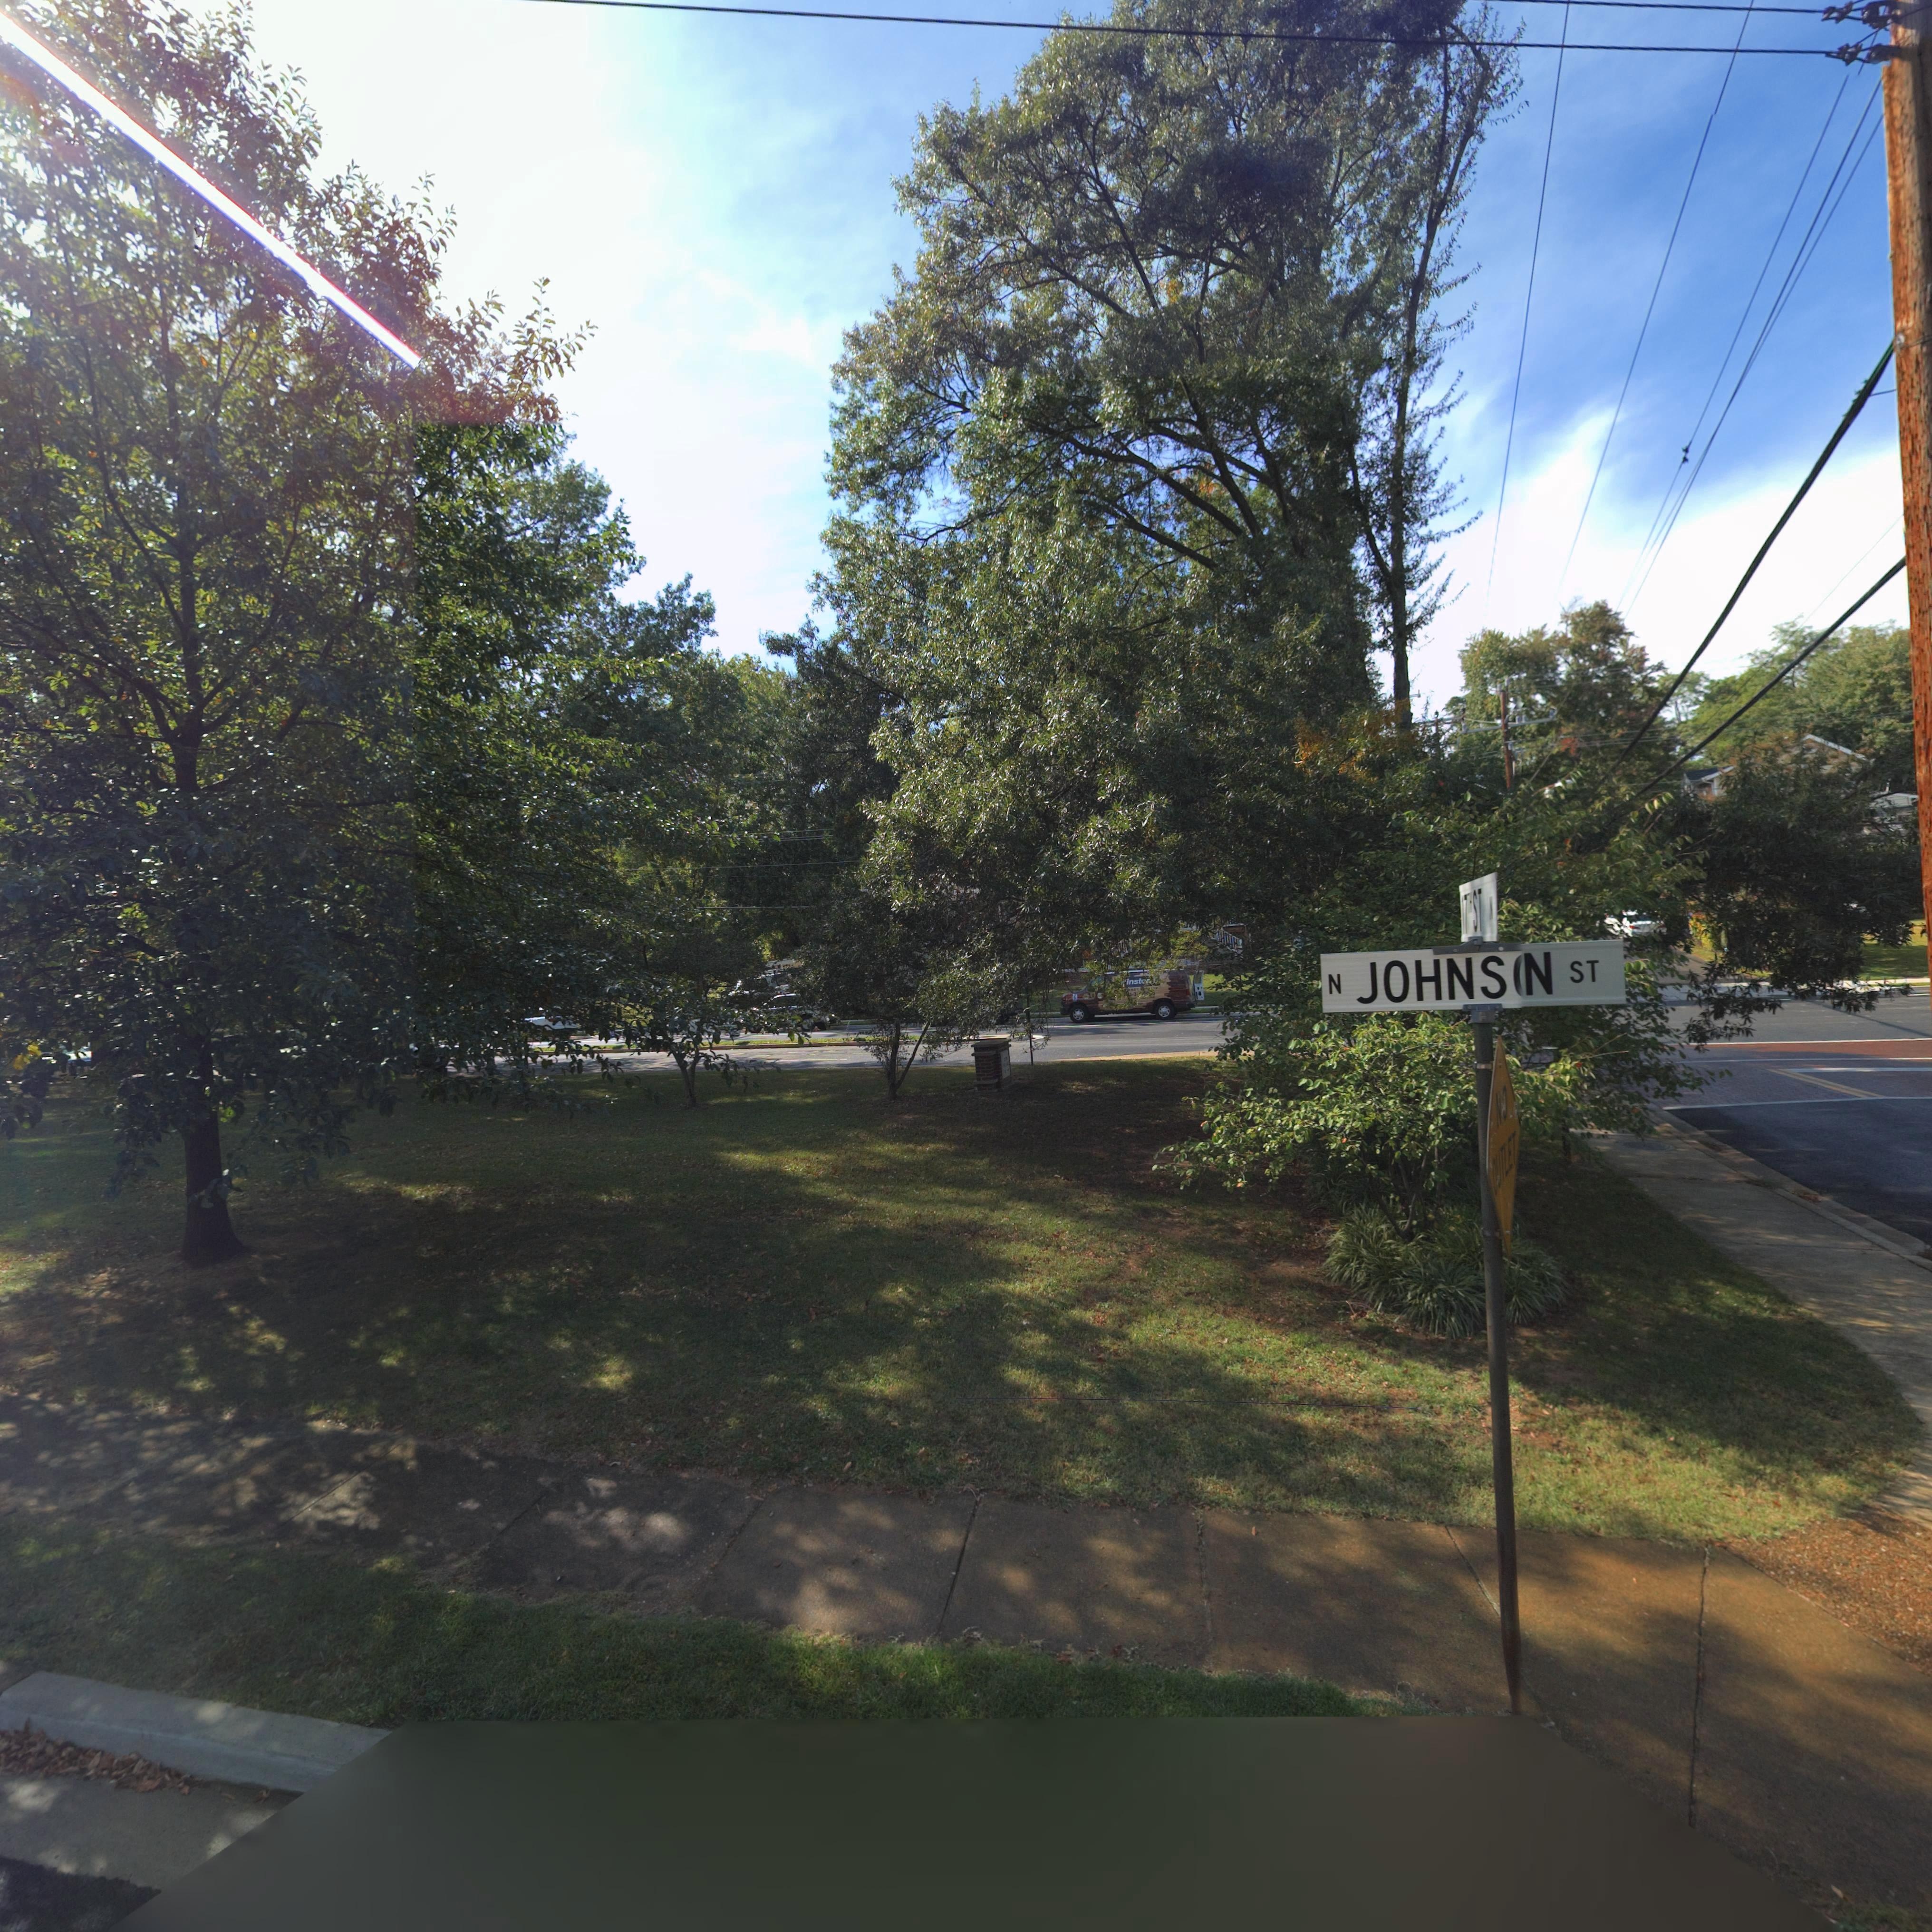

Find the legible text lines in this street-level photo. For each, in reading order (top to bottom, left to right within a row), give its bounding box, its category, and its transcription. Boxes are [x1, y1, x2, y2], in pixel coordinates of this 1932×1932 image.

[1460, 887, 1495, 937] StreetName: 17** ST N
[1125, 976, 1142, 986] None: inst
[1325, 948, 1601, 1007] StreetName: N JOHNS*N ST
[1493, 1080, 1510, 1131] None: NO
[1489, 1127, 1517, 1198] None: OUTLET